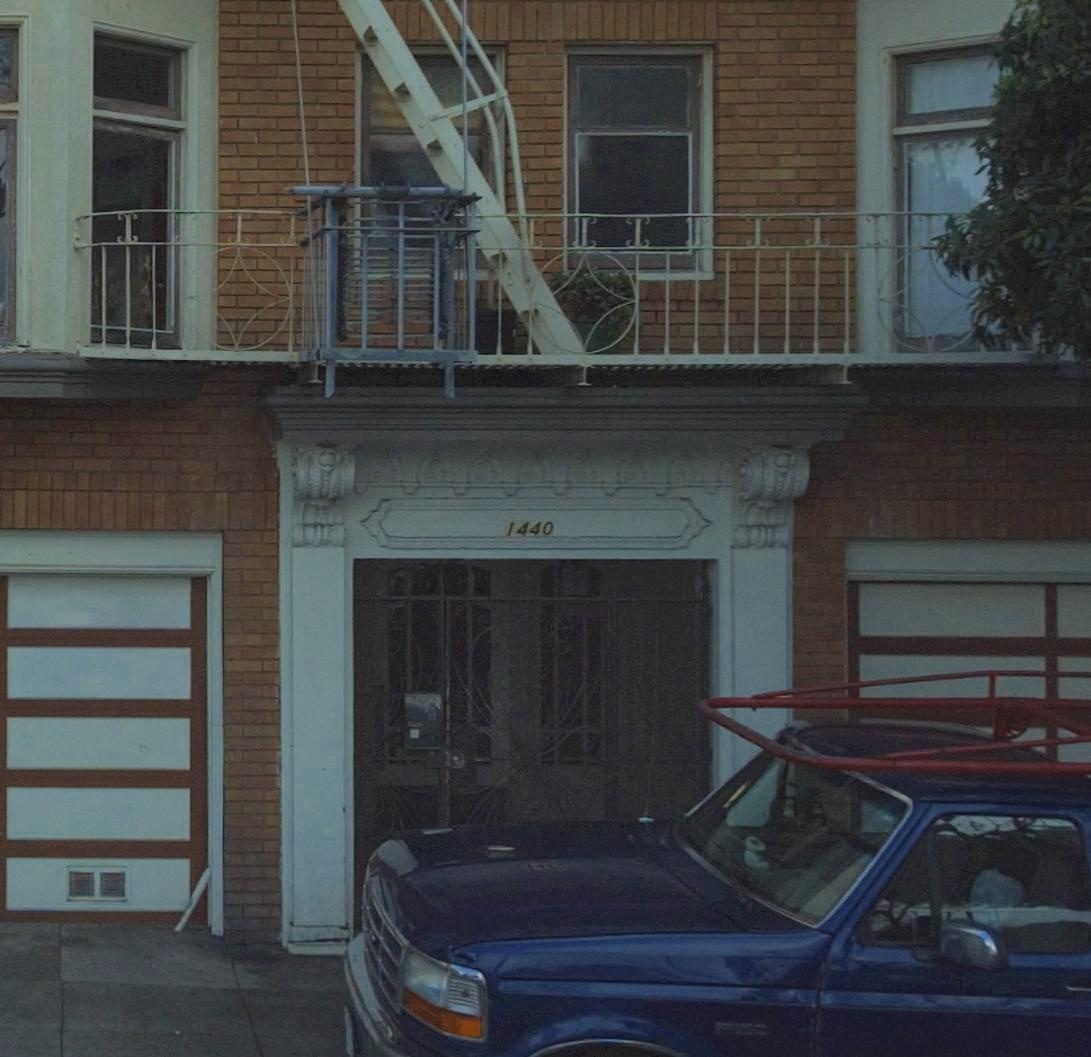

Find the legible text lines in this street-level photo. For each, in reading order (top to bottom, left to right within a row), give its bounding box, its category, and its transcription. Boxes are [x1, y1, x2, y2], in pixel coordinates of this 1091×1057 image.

[503, 519, 557, 538] StreetNumber: 1440